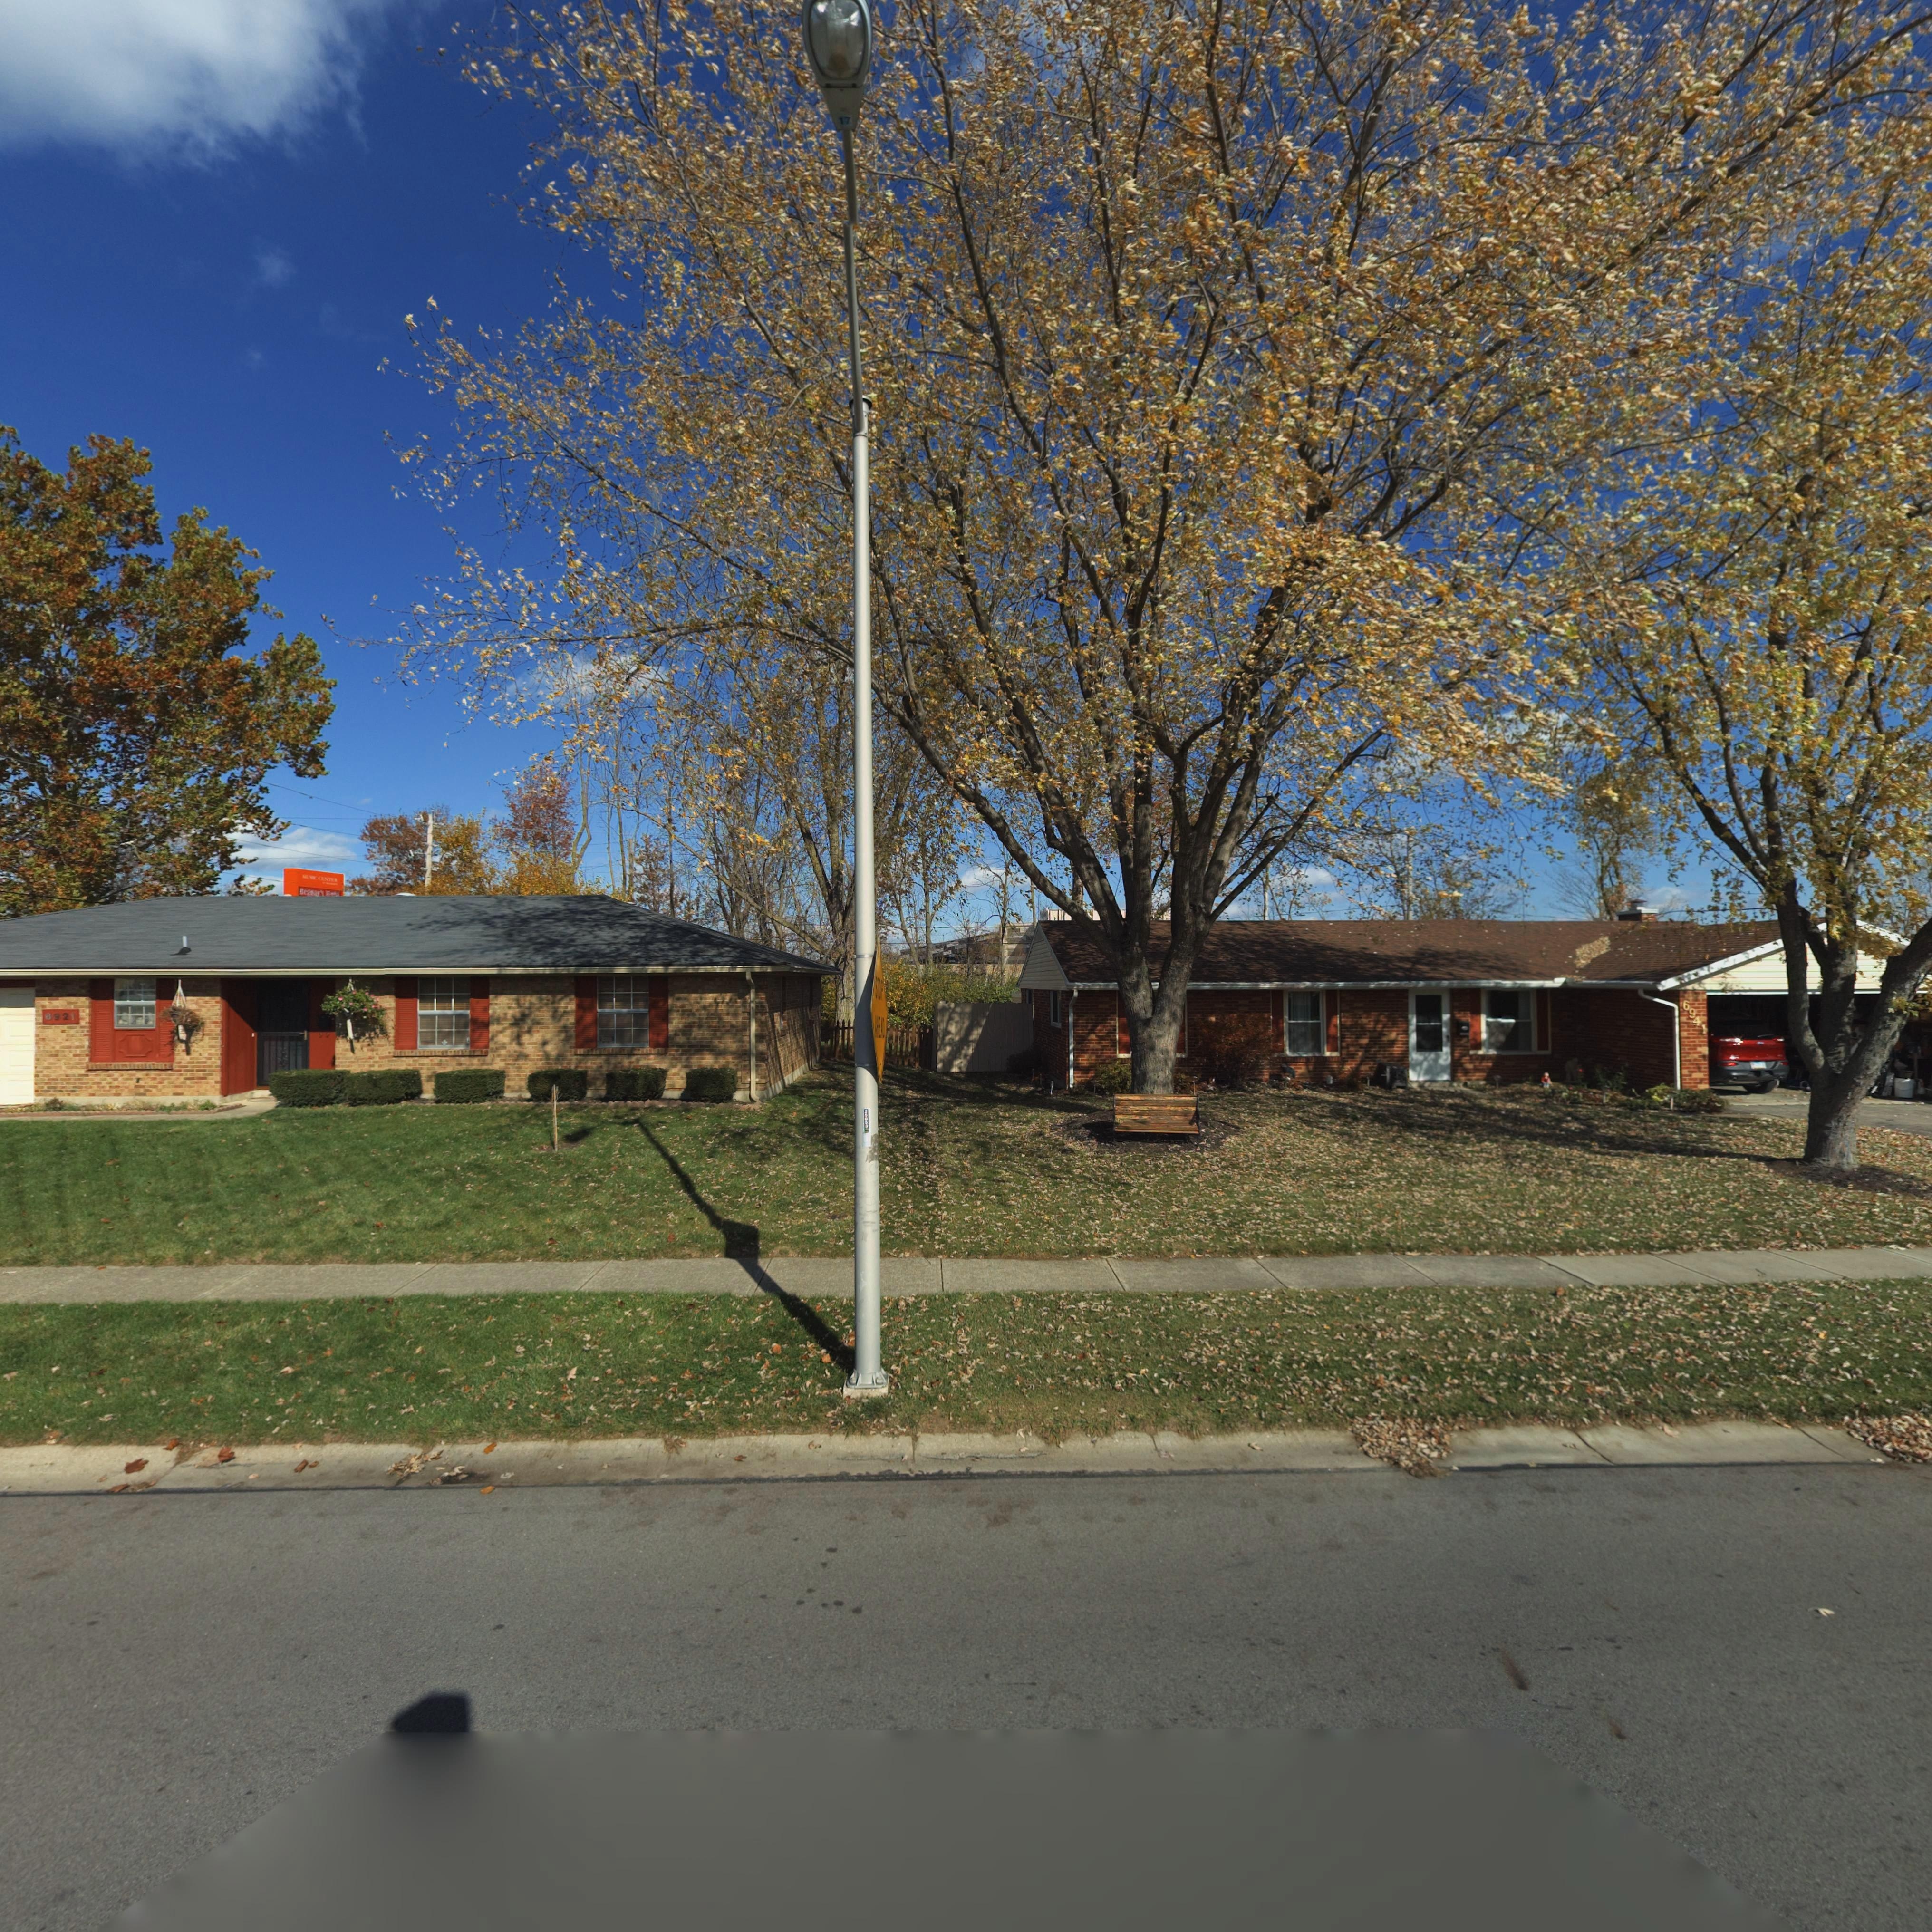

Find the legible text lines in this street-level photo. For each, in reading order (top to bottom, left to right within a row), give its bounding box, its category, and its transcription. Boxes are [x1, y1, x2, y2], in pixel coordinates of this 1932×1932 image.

[44, 1011, 76, 1022] StreetNumber: 6921
[1681, 999, 1707, 1035] StreetNumber: 6941